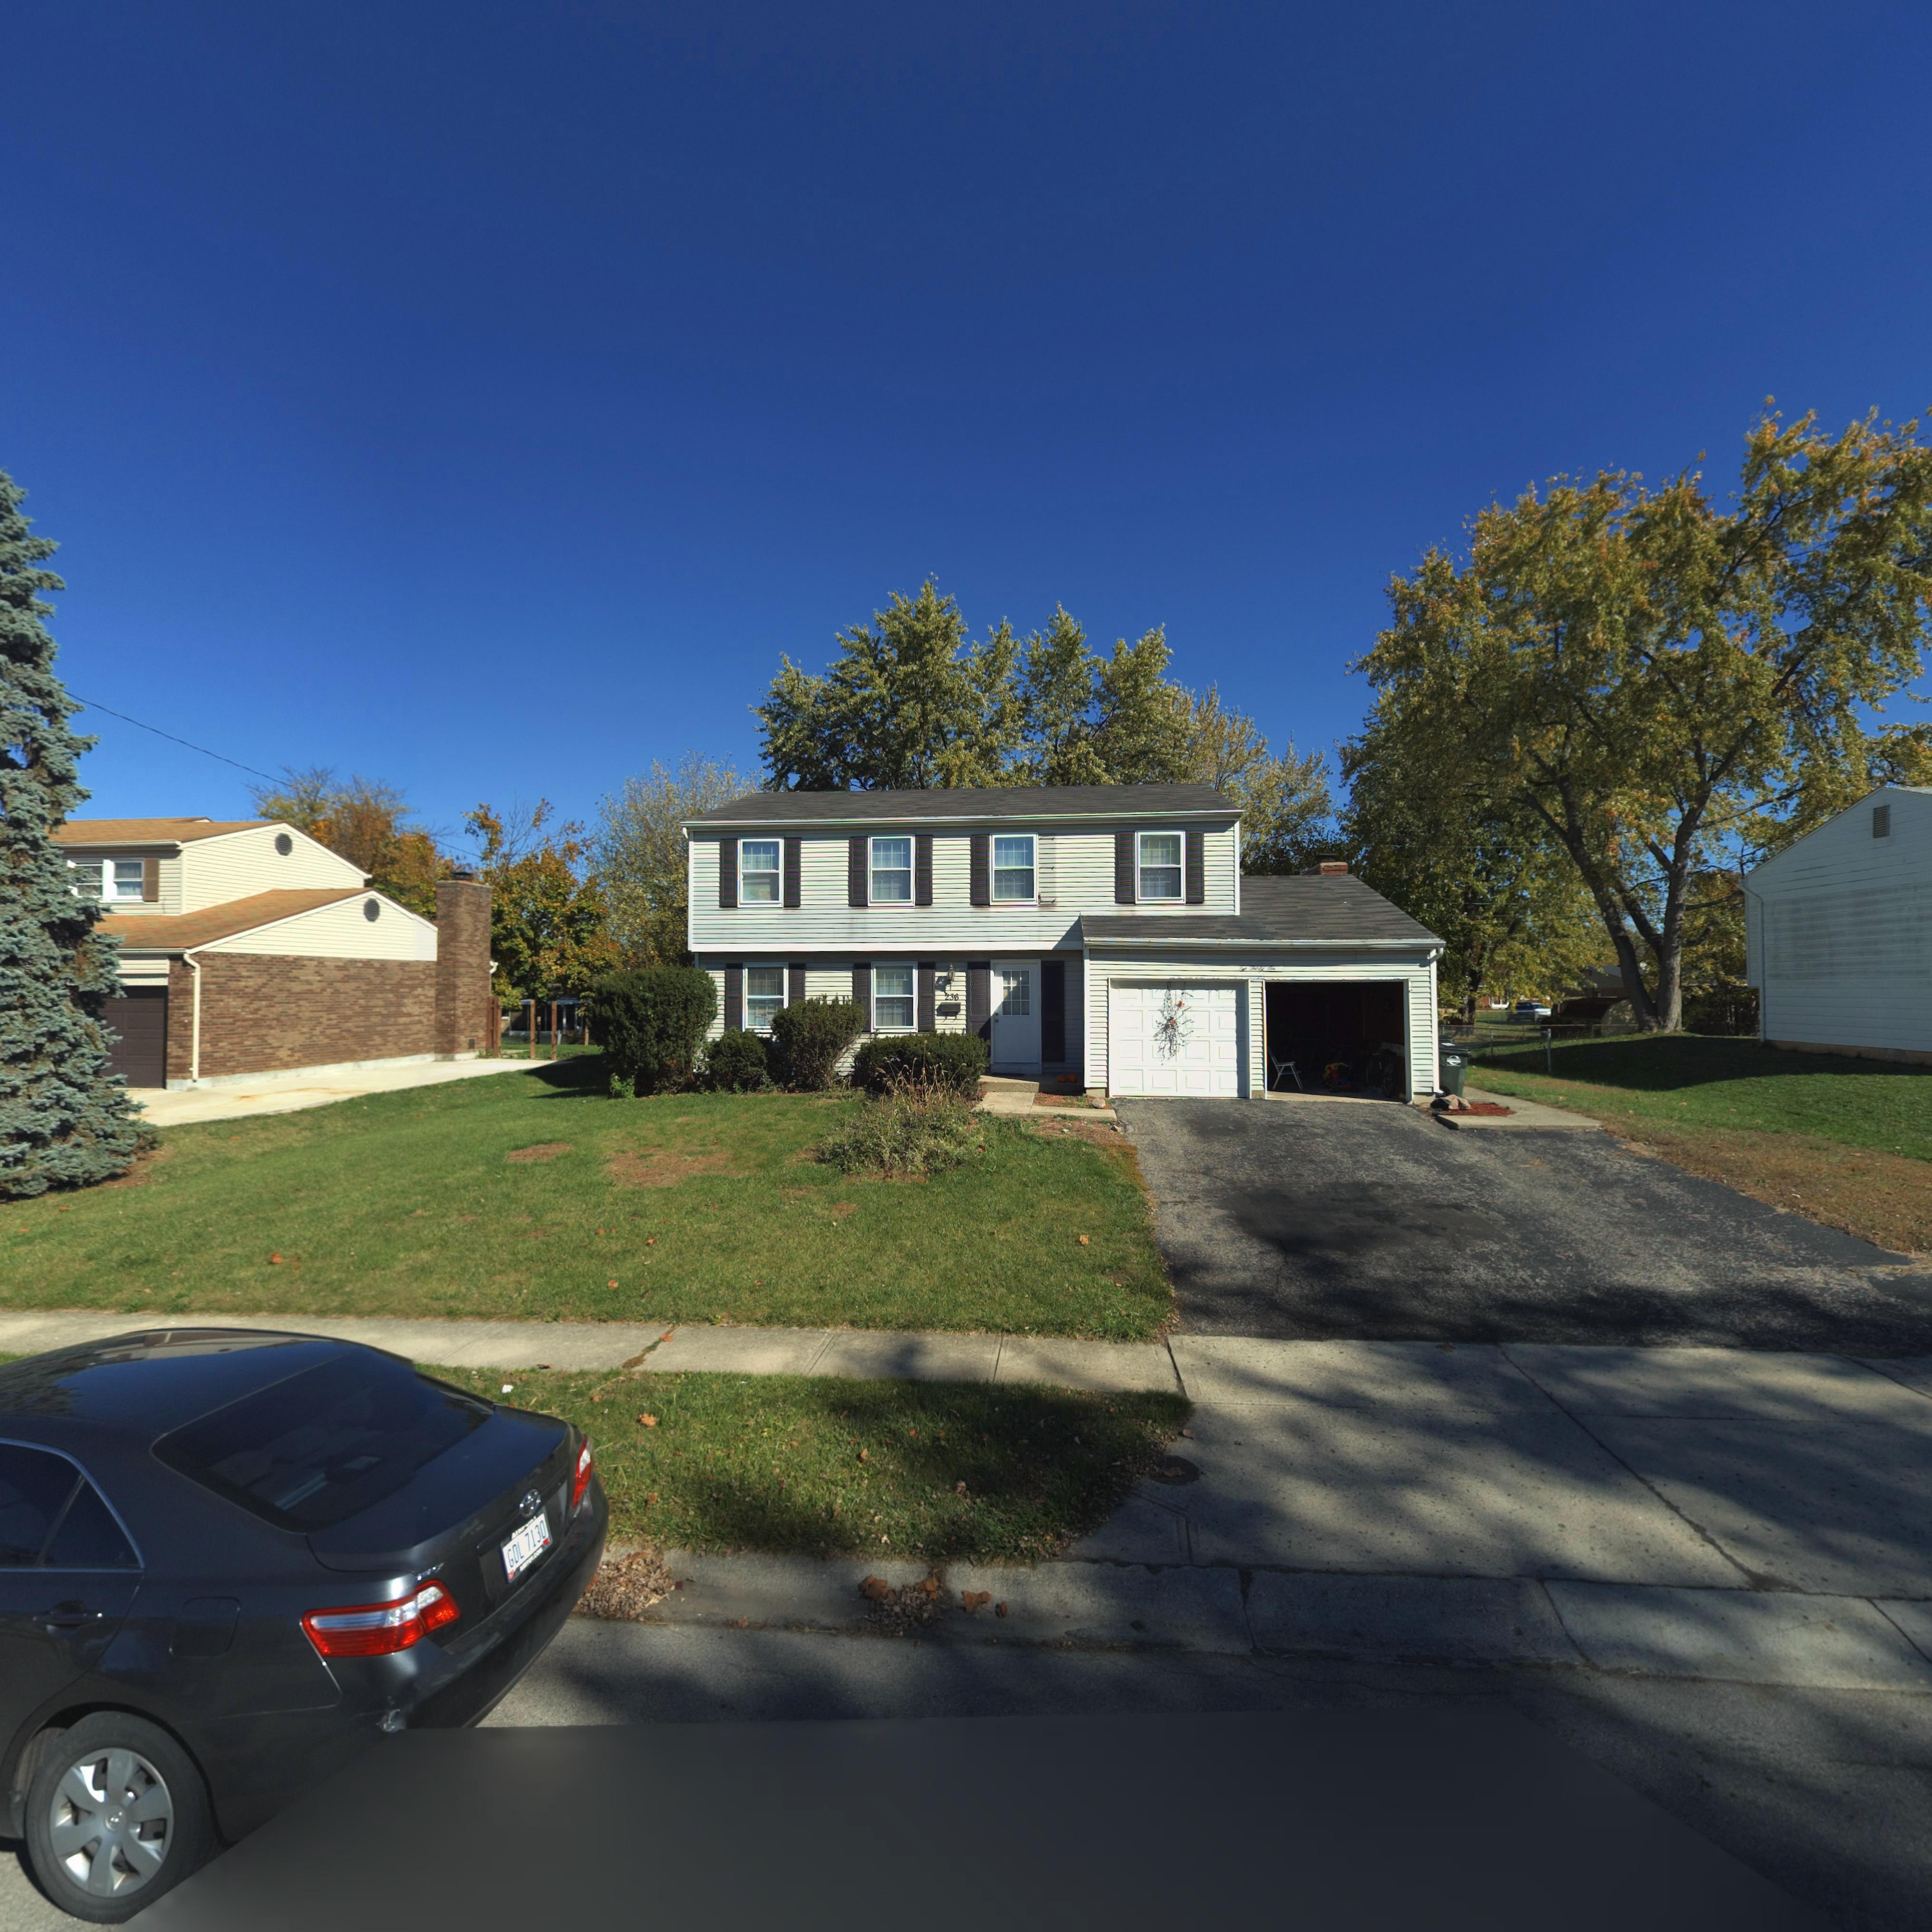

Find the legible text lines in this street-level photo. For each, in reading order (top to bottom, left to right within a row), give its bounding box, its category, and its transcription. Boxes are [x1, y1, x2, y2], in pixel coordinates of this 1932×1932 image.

[944, 993, 960, 1002] StreetNumber: 236